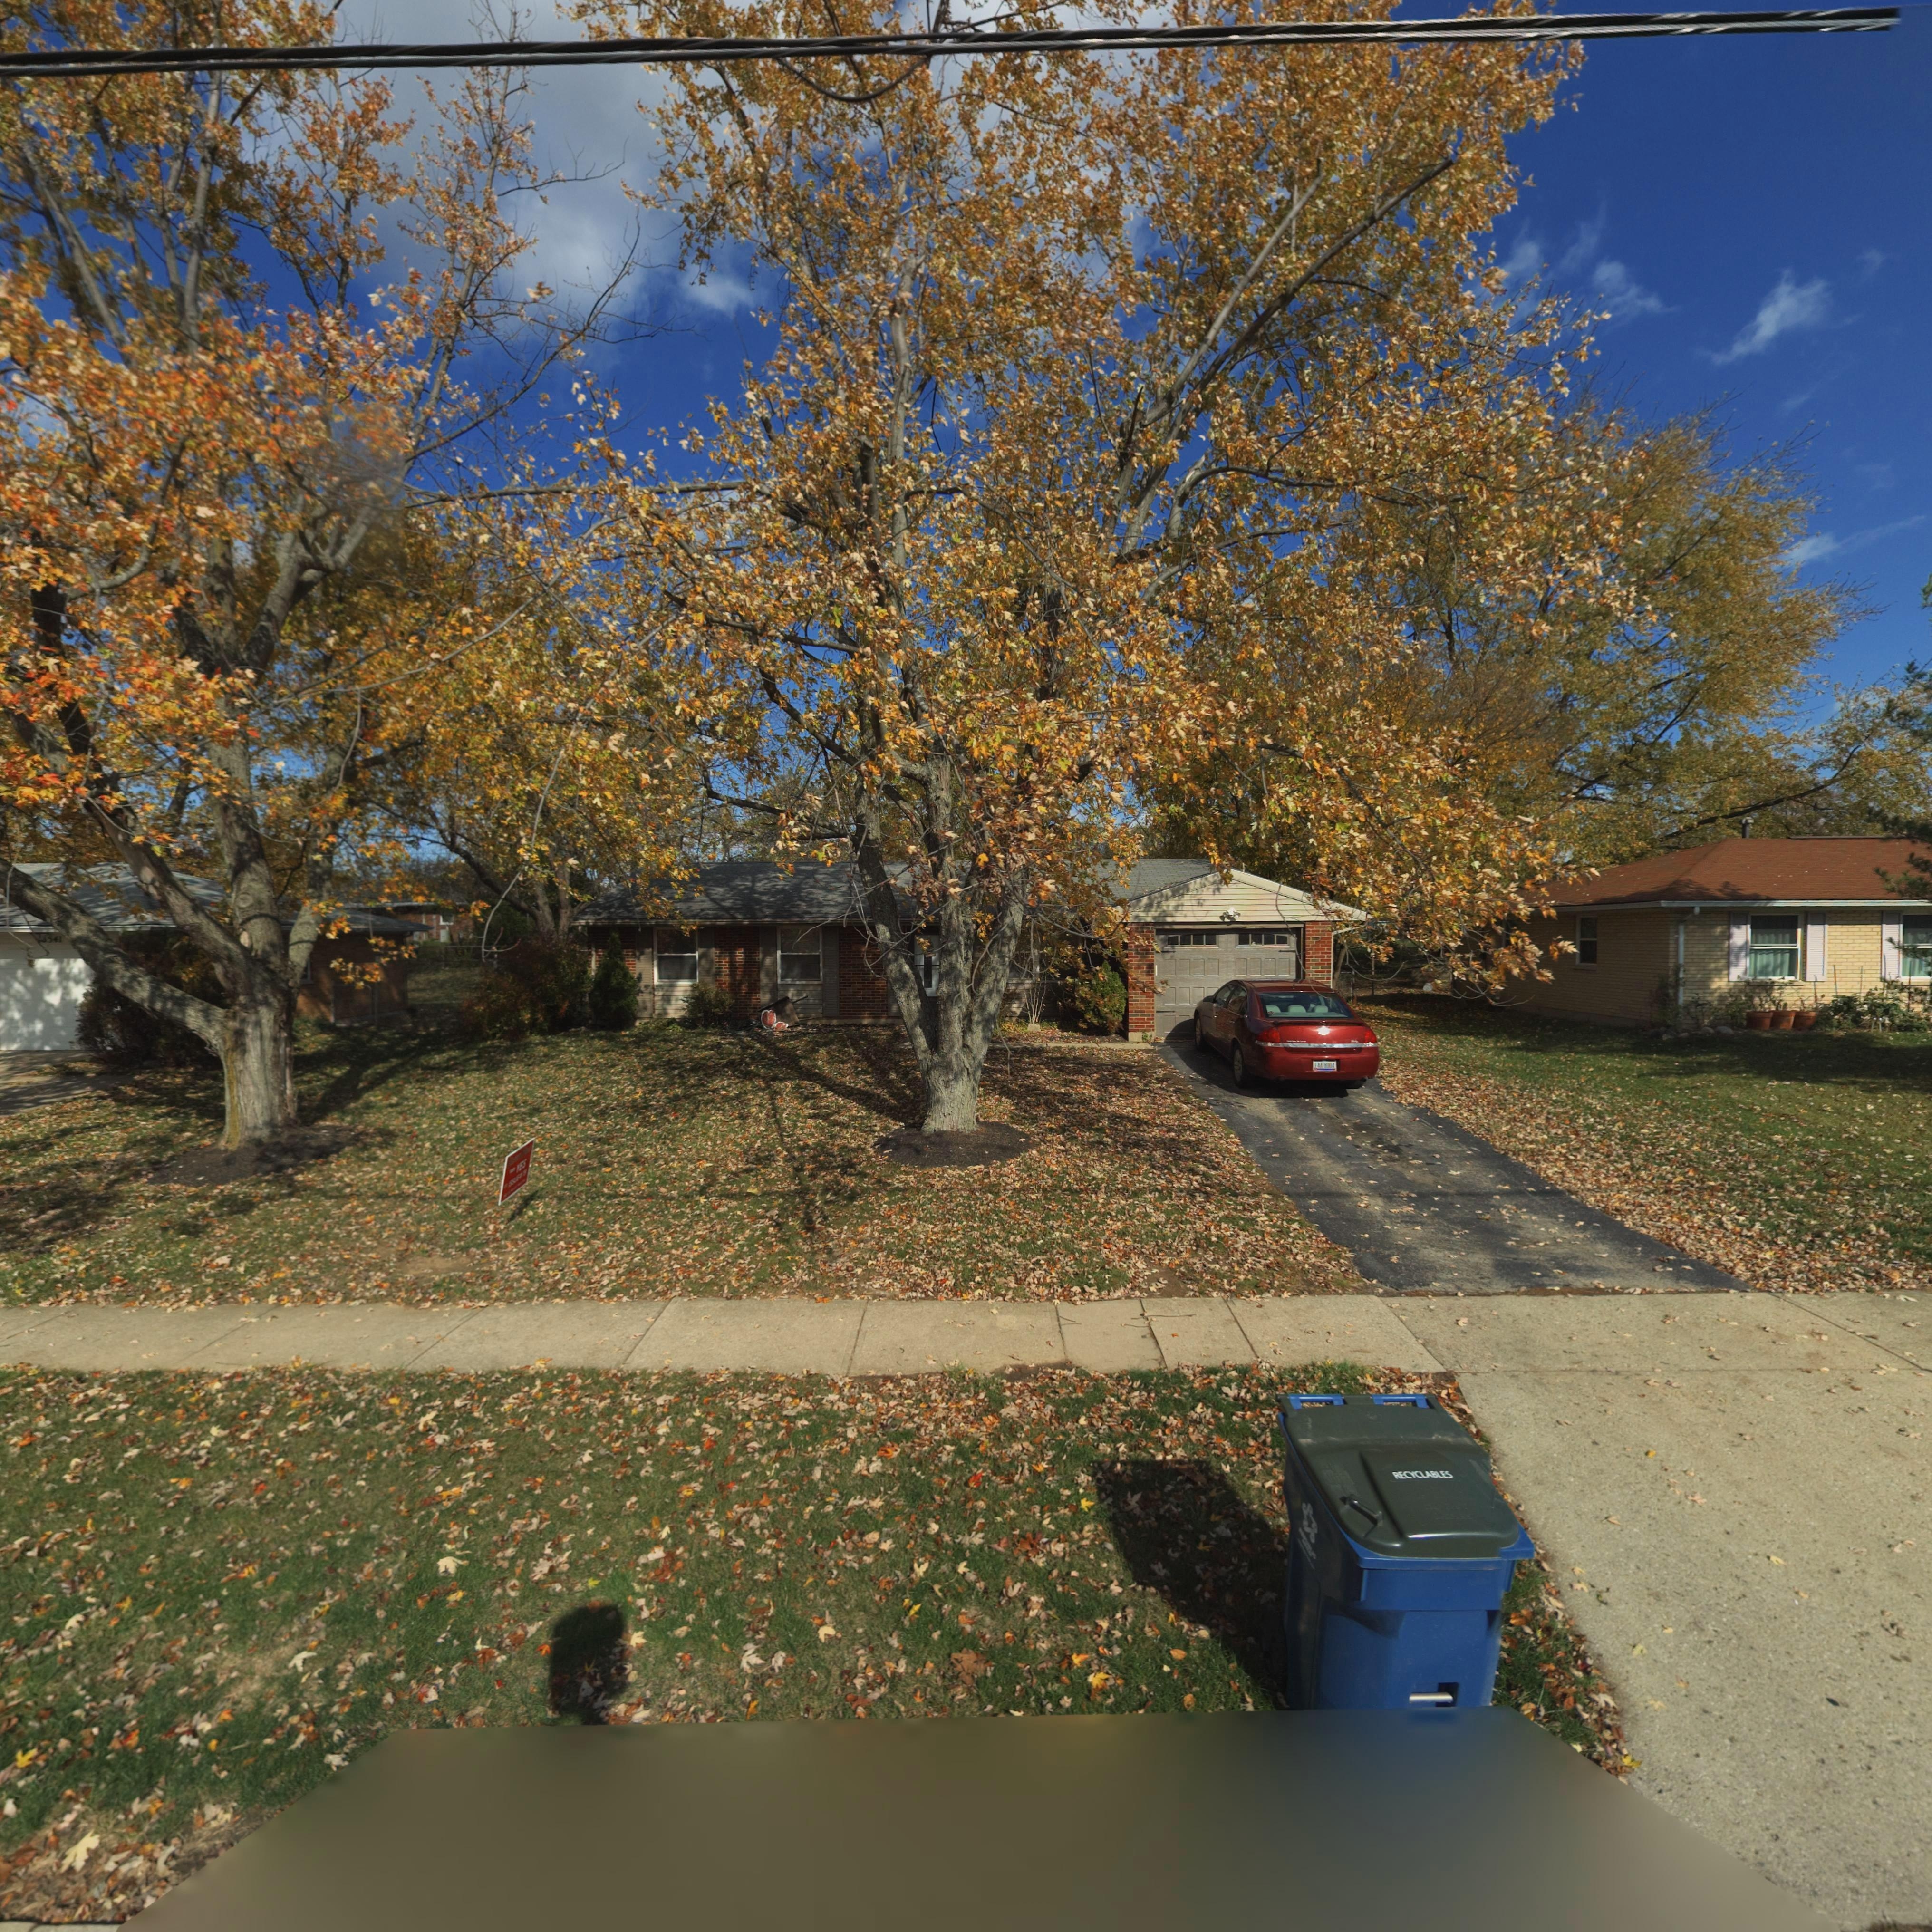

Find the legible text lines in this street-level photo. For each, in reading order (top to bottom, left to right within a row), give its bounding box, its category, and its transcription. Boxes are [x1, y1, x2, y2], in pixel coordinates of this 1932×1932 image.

[41, 935, 62, 943] StreetNumber: 6541